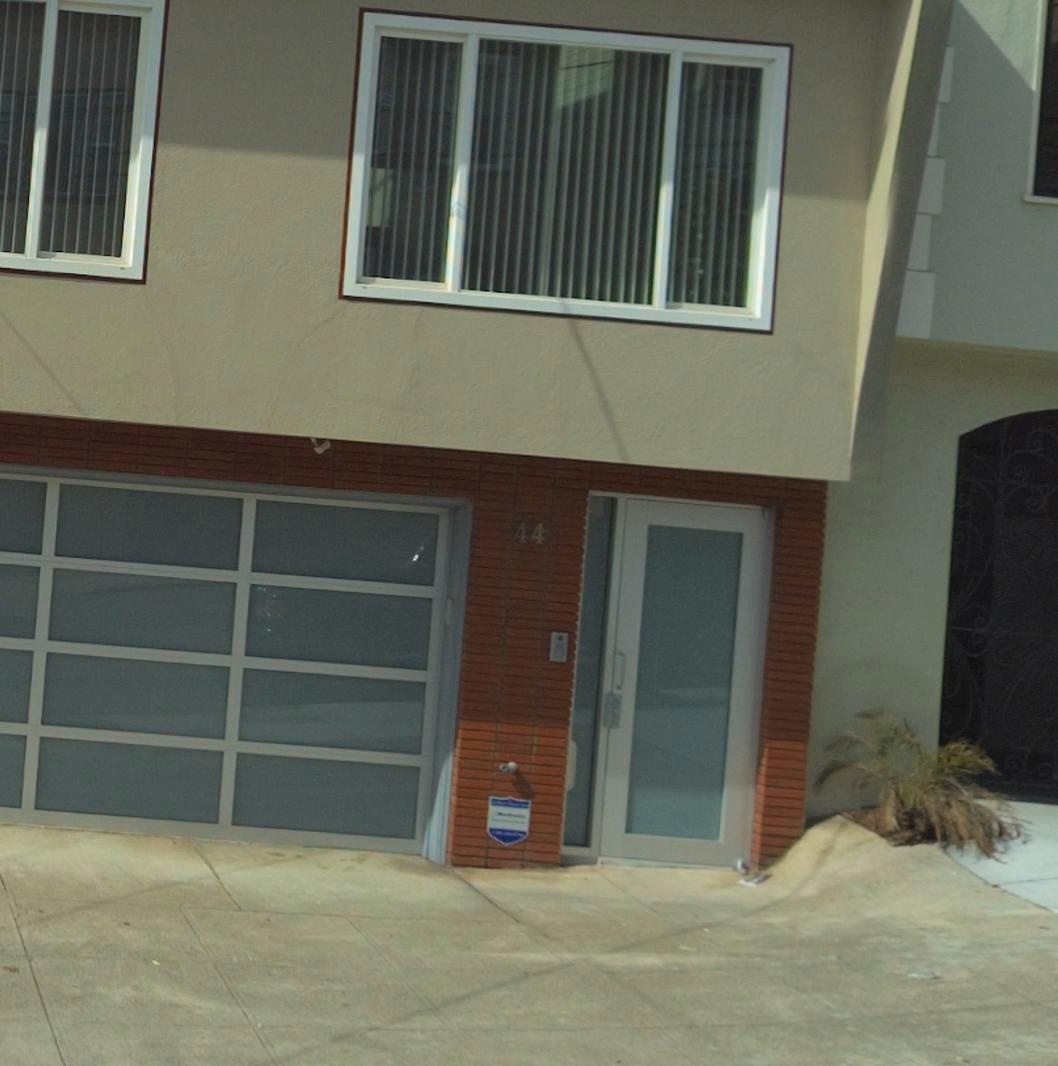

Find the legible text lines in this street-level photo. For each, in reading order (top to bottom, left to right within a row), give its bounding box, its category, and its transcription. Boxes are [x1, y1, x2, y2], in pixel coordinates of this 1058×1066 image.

[514, 520, 546, 546] StreetNumber: 44